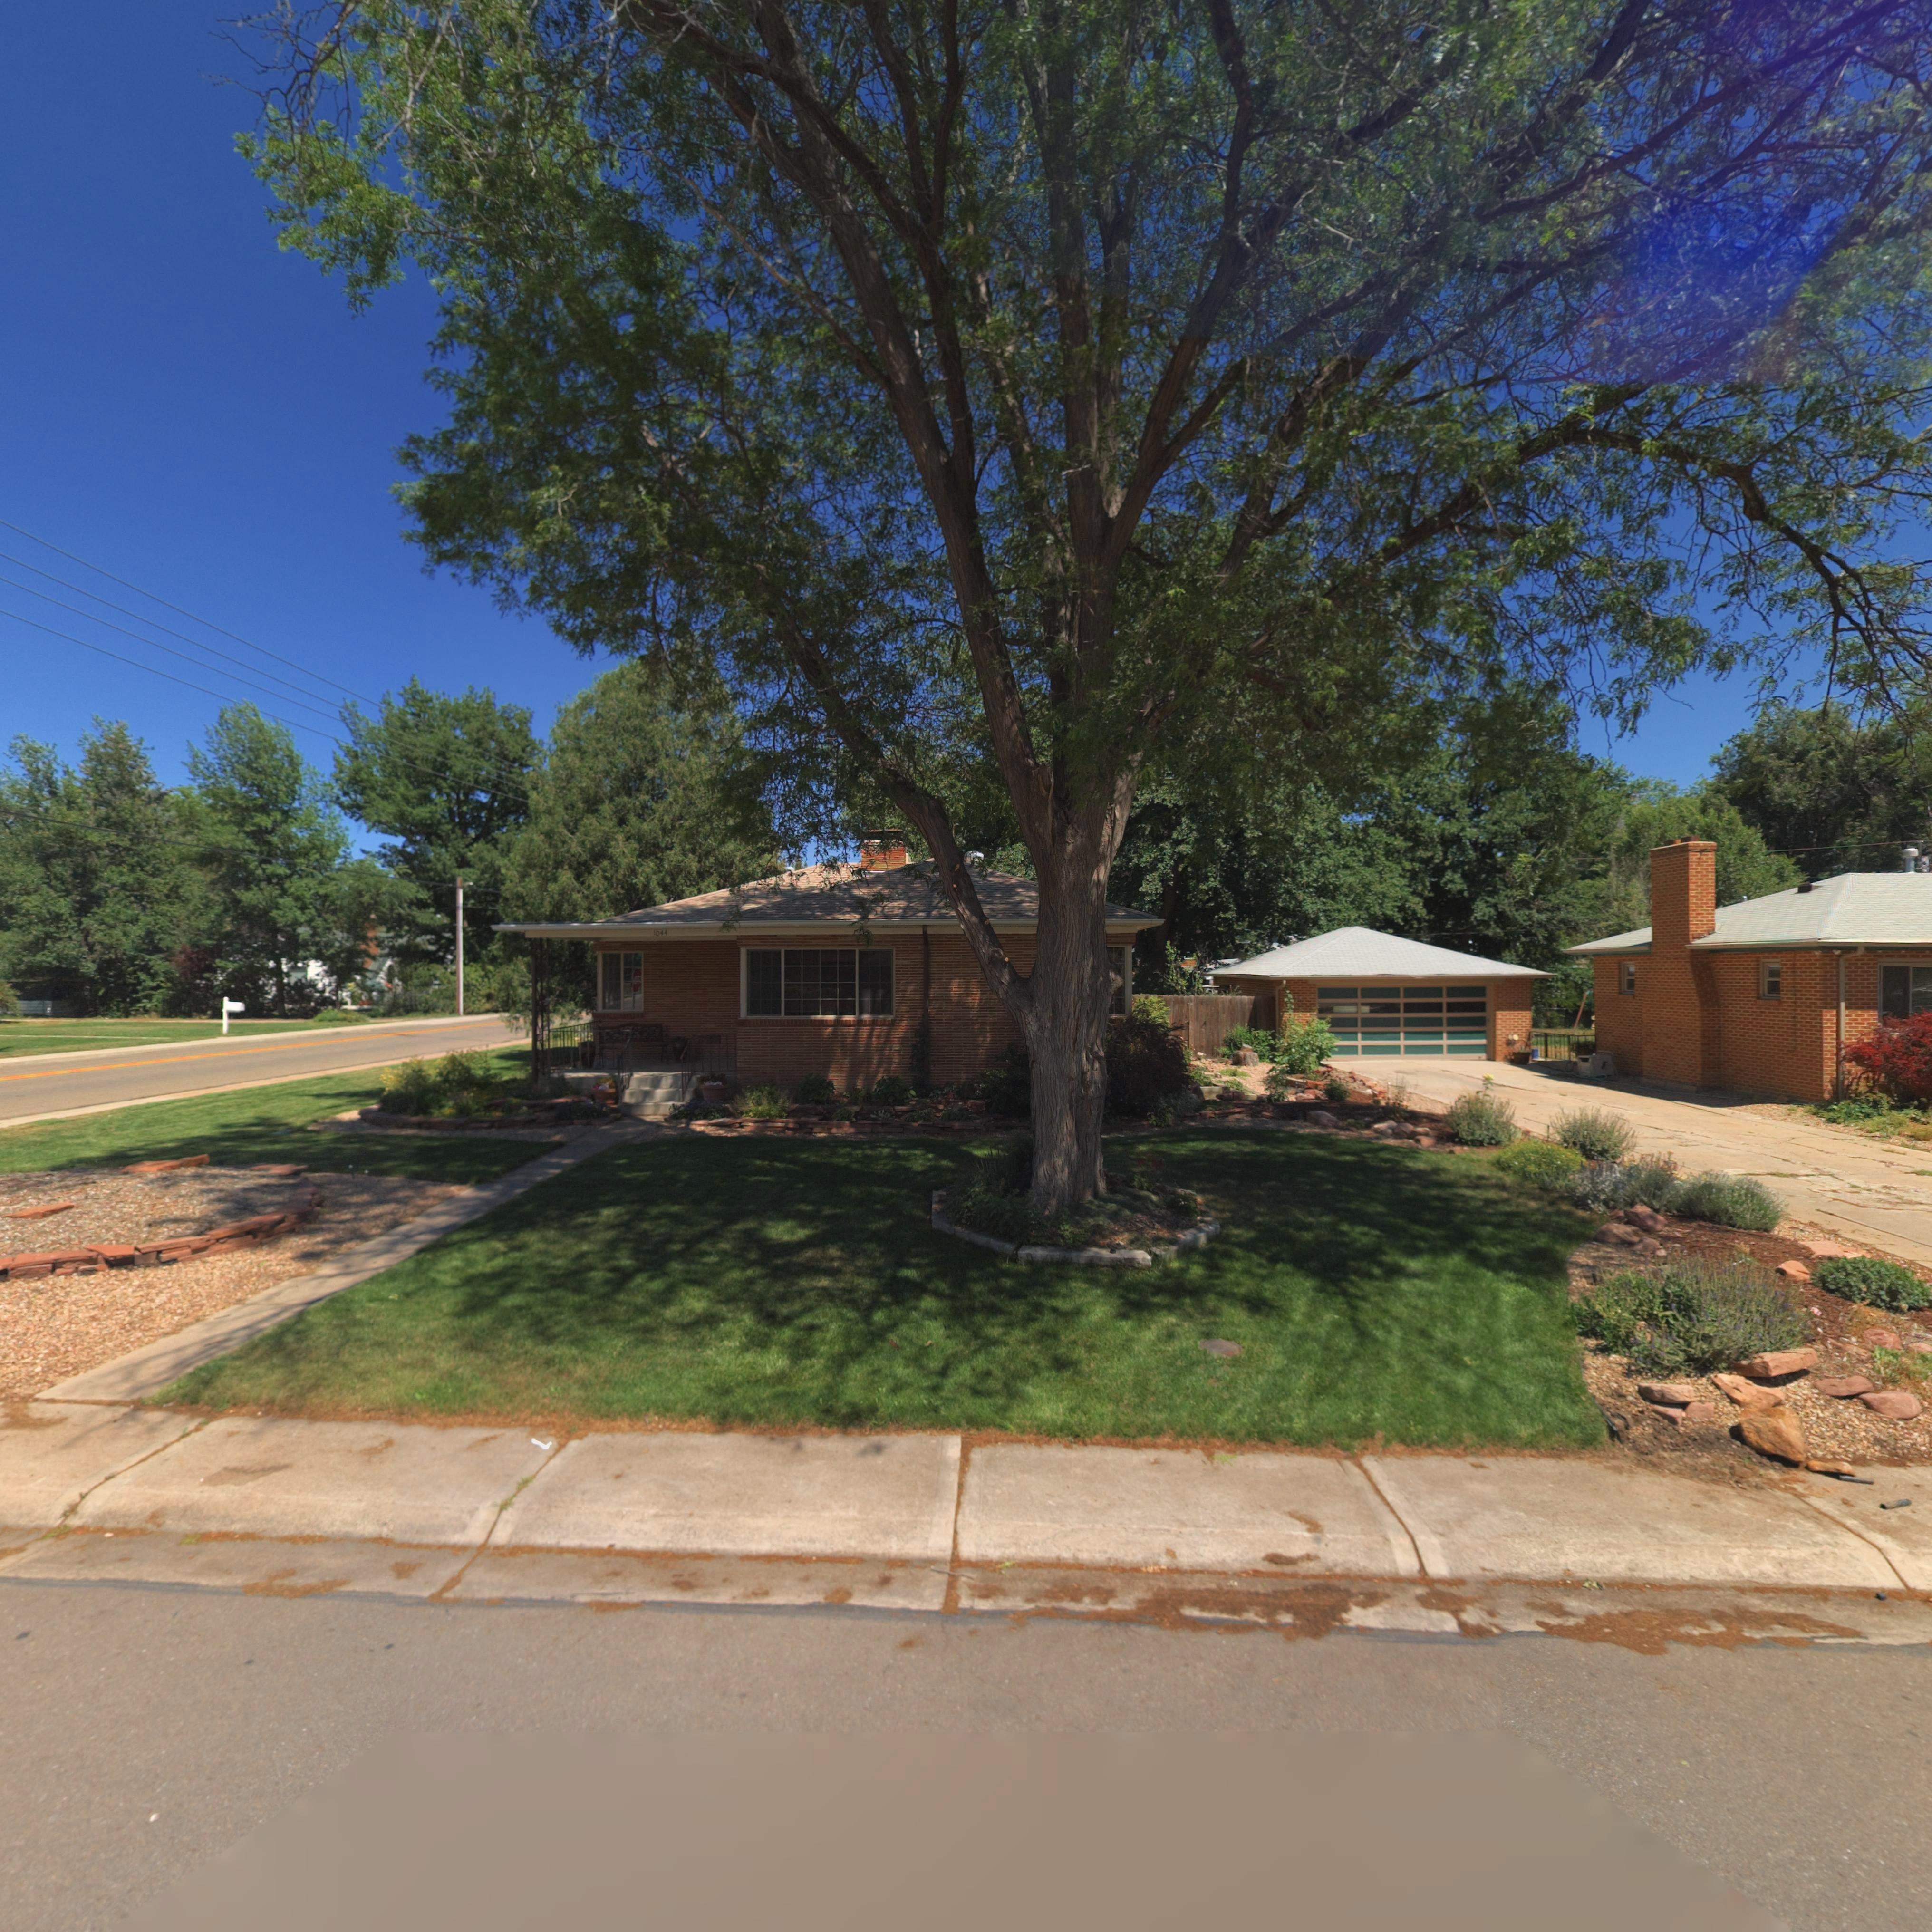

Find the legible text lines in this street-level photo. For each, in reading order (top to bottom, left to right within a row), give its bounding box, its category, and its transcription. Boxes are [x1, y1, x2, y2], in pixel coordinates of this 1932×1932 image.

[653, 929, 667, 936] StreetNumber: 1044